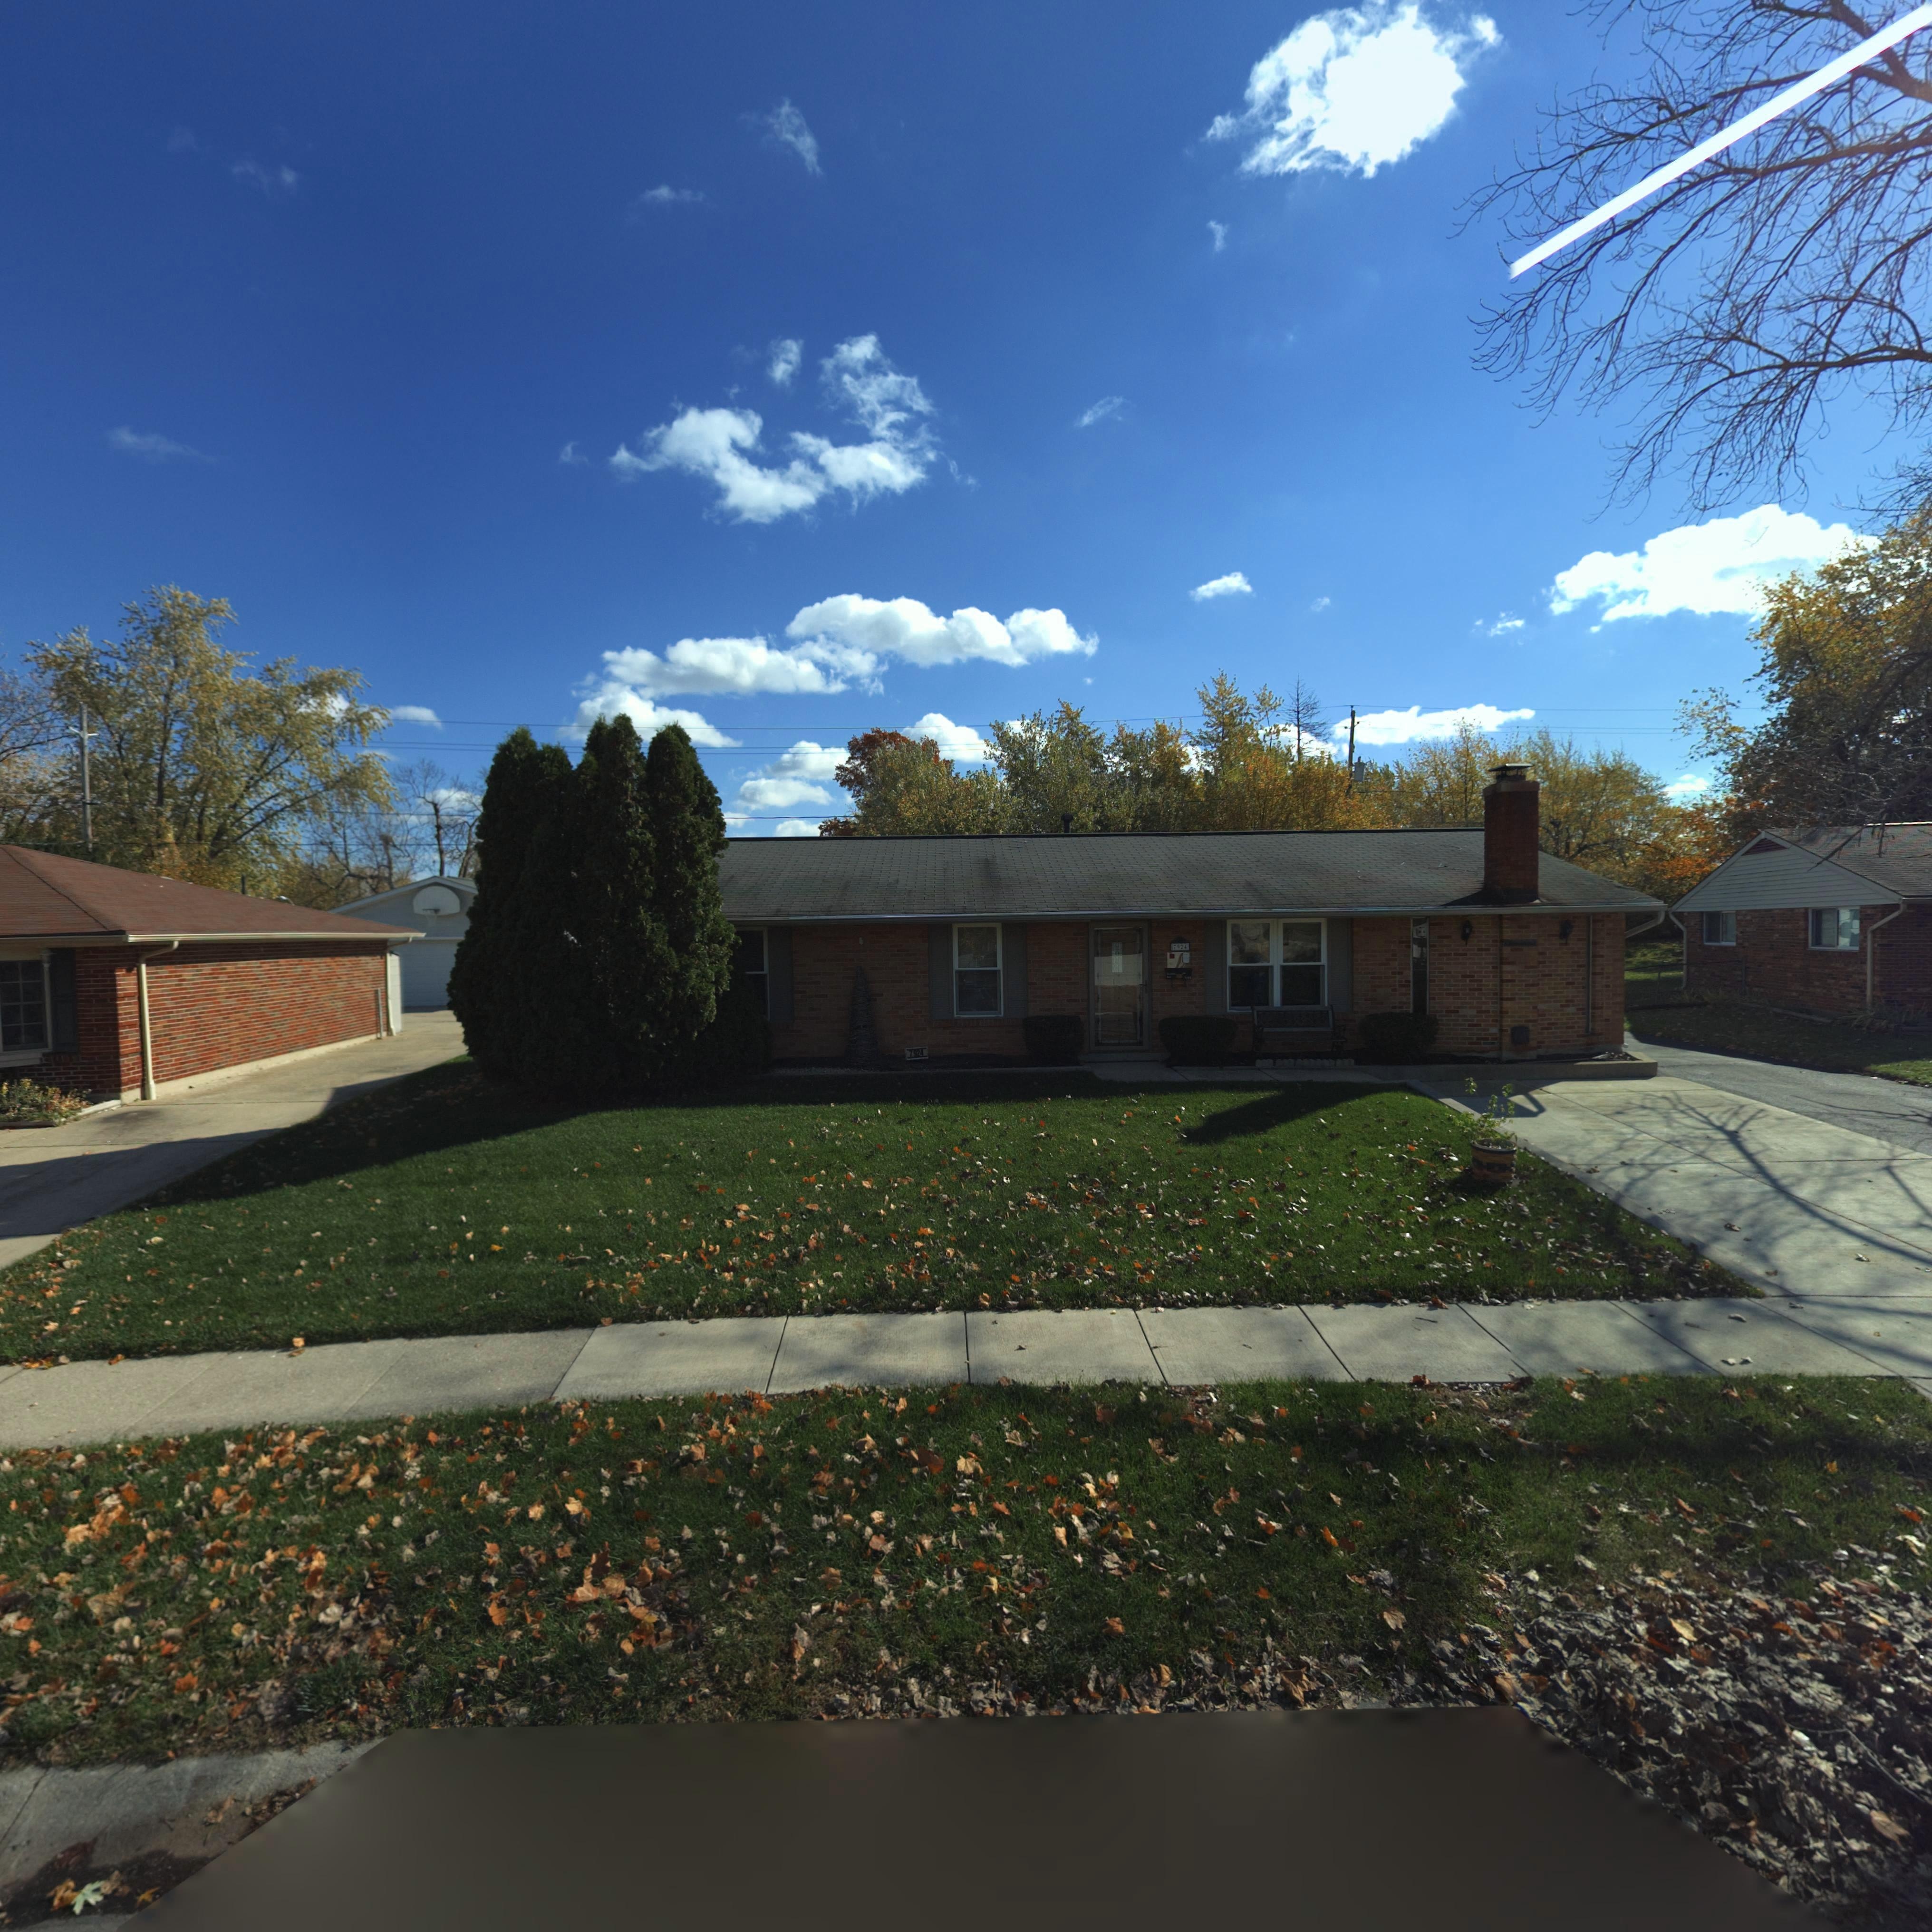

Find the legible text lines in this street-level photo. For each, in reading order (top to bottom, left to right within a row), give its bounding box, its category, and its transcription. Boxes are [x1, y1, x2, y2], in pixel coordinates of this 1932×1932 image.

[1172, 943, 1188, 950] StreetNumber: 7*24
[908, 1048, 925, 1058] StreetNumber: 7924